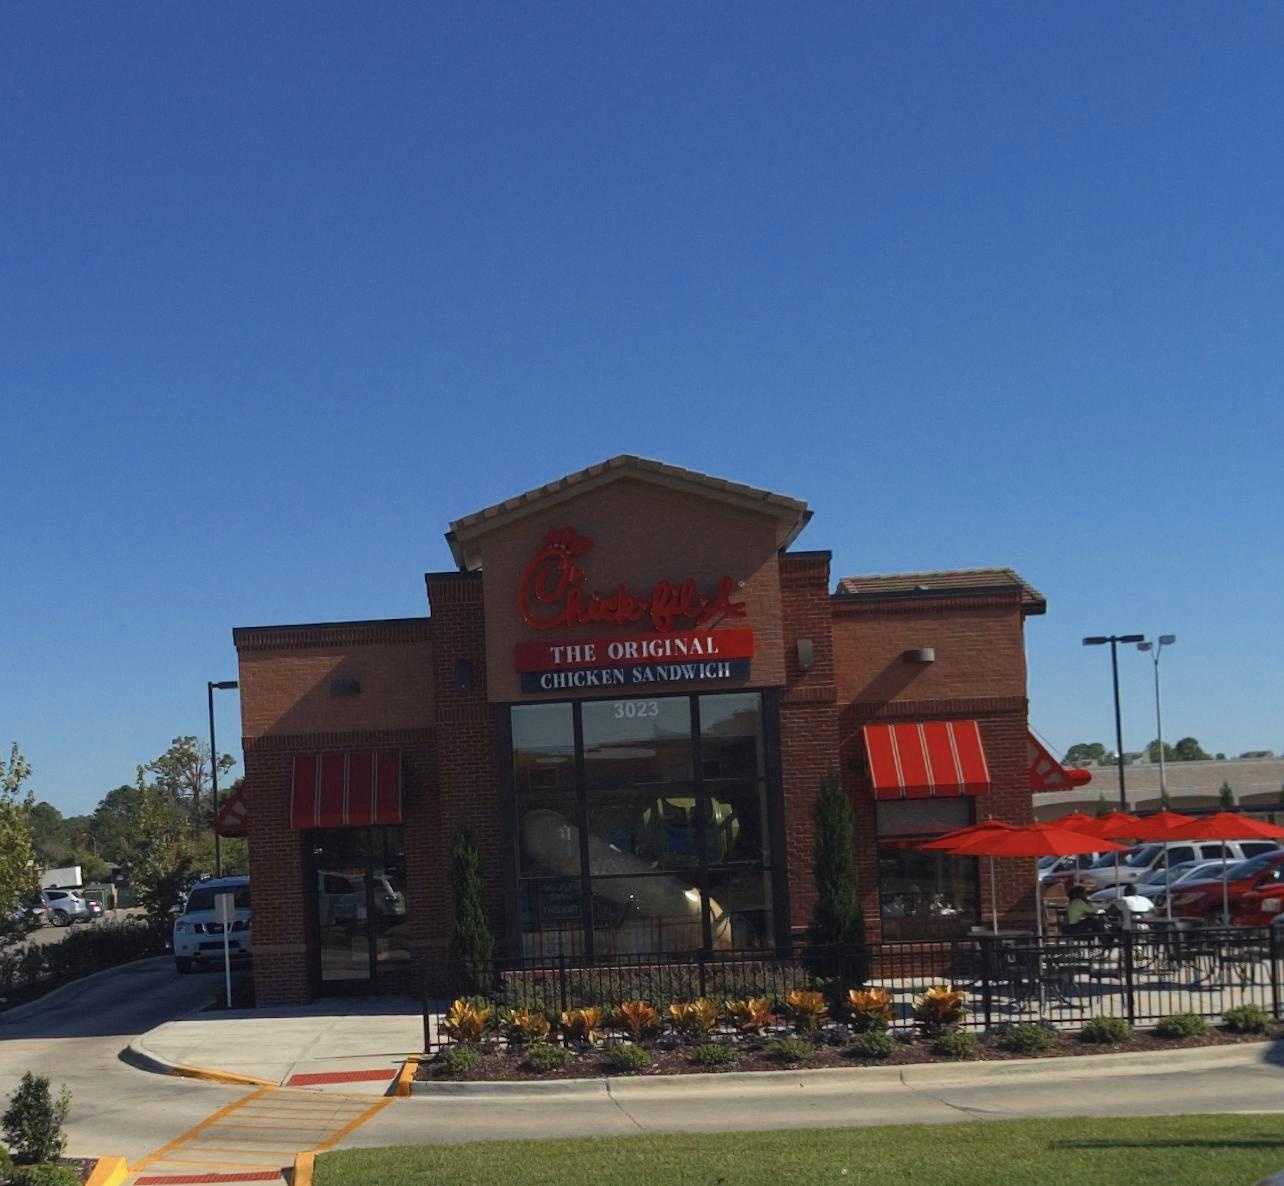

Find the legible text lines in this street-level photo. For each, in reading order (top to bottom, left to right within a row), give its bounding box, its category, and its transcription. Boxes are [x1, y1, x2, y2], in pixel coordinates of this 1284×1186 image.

[514, 545, 750, 635] BusinessName: Chick-fil-A
[548, 636, 720, 666] None: THE ORIGINAL
[539, 661, 731, 690] None: CHICKEN SANDWICH
[613, 699, 659, 720] StreetNumber: 3023
[540, 904, 582, 917] None: THIS EXIT